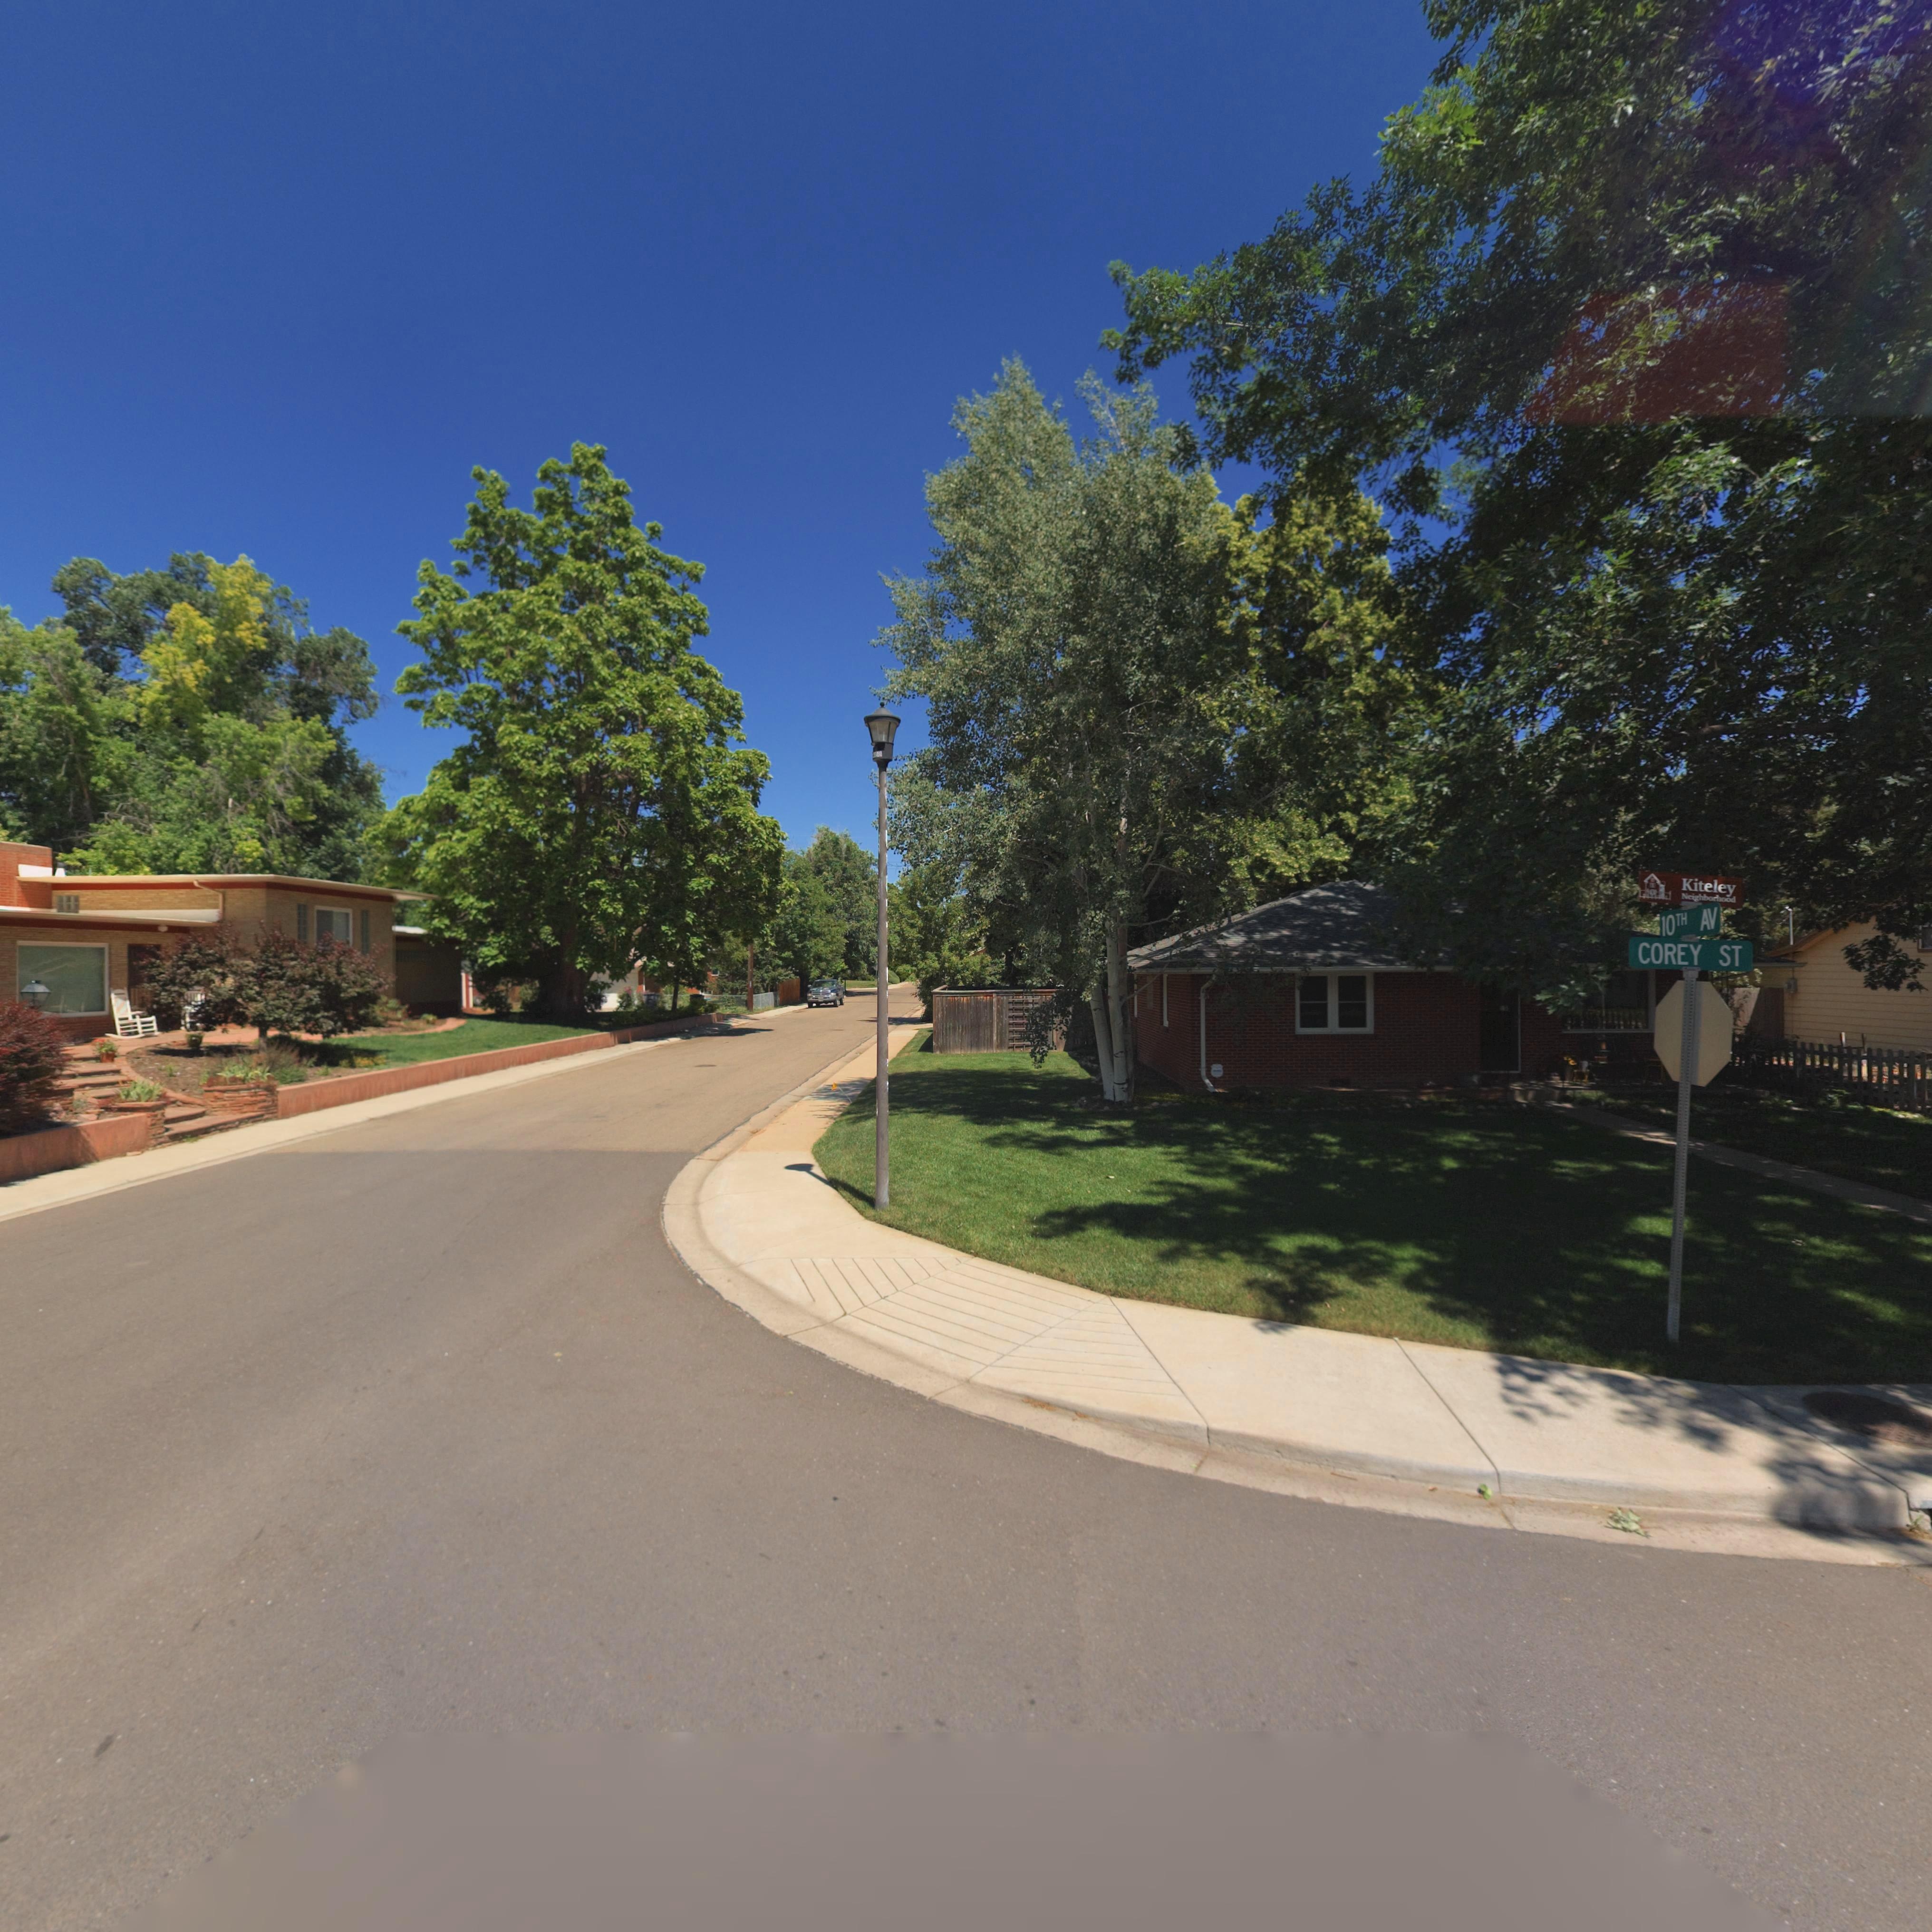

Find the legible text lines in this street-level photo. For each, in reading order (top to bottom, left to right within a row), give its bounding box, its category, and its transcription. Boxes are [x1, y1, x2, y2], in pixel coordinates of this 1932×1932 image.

[1661, 906, 1717, 937] StreetName: 10TH AV
[1638, 942, 1742, 966] StreetName: COREY ST